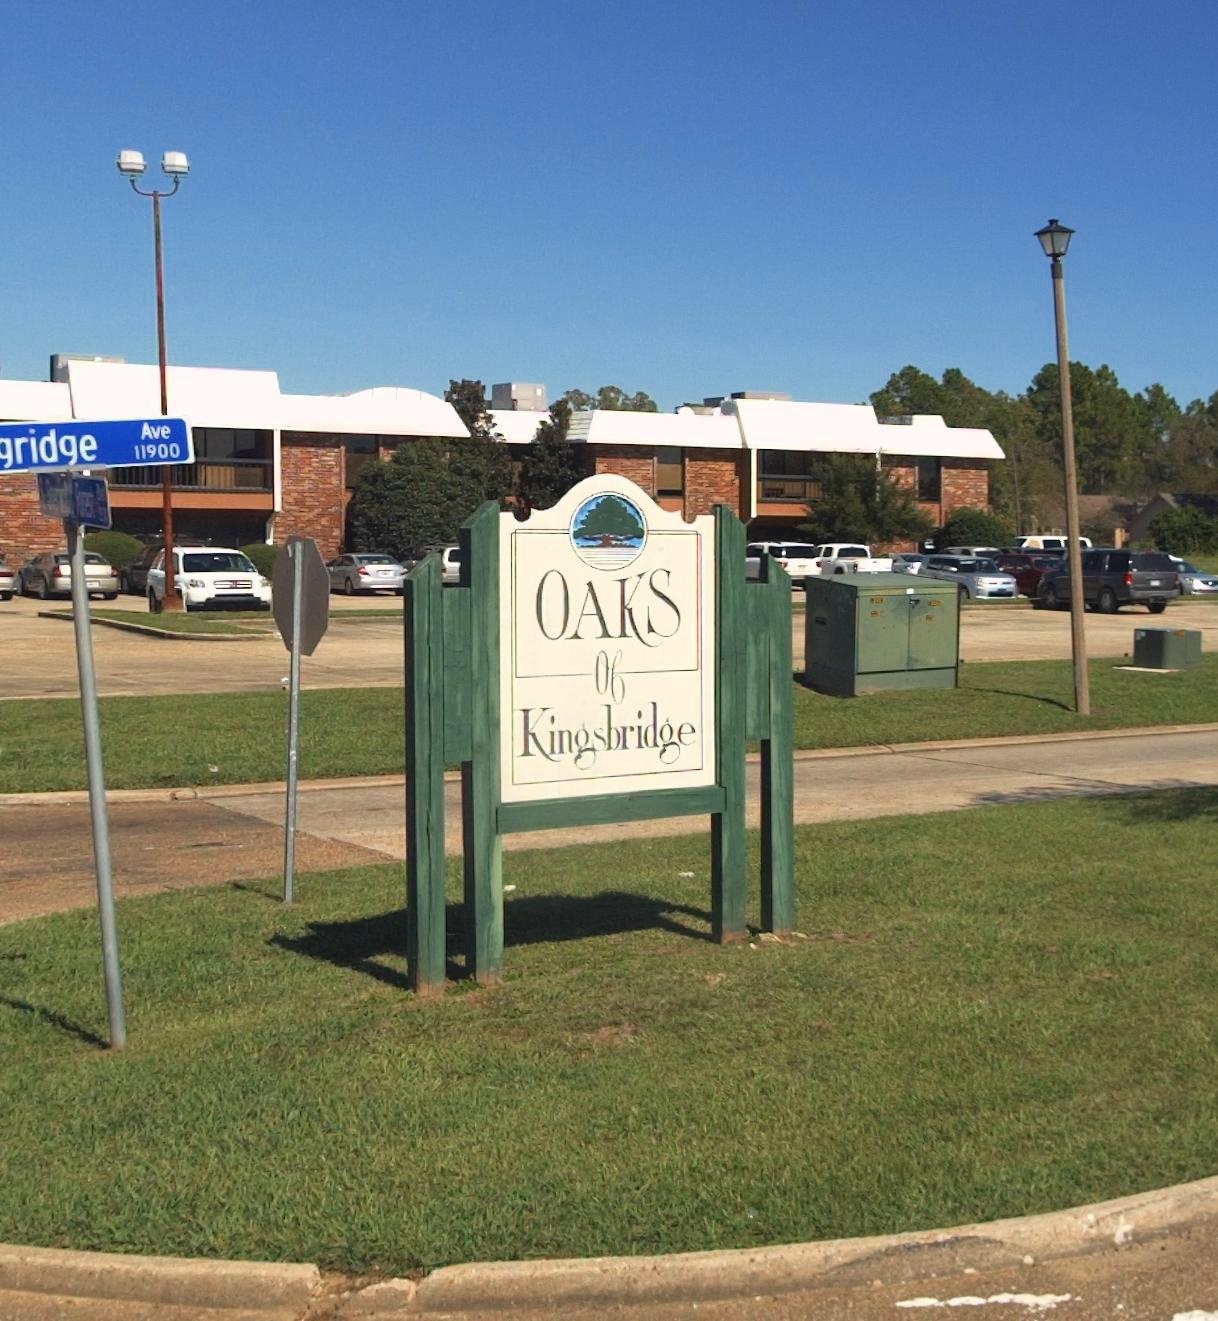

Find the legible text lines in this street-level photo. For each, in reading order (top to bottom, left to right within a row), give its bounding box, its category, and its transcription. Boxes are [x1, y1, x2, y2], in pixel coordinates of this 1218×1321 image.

[9, 417, 177, 470] StreetName: ridge Ave
[129, 439, 188, 463] StreetNumber: 11900
[532, 563, 684, 652] BusinessName: OAKS
[589, 643, 632, 713] BusinessName: of
[510, 697, 700, 777] BusinessName: Kingsbridge